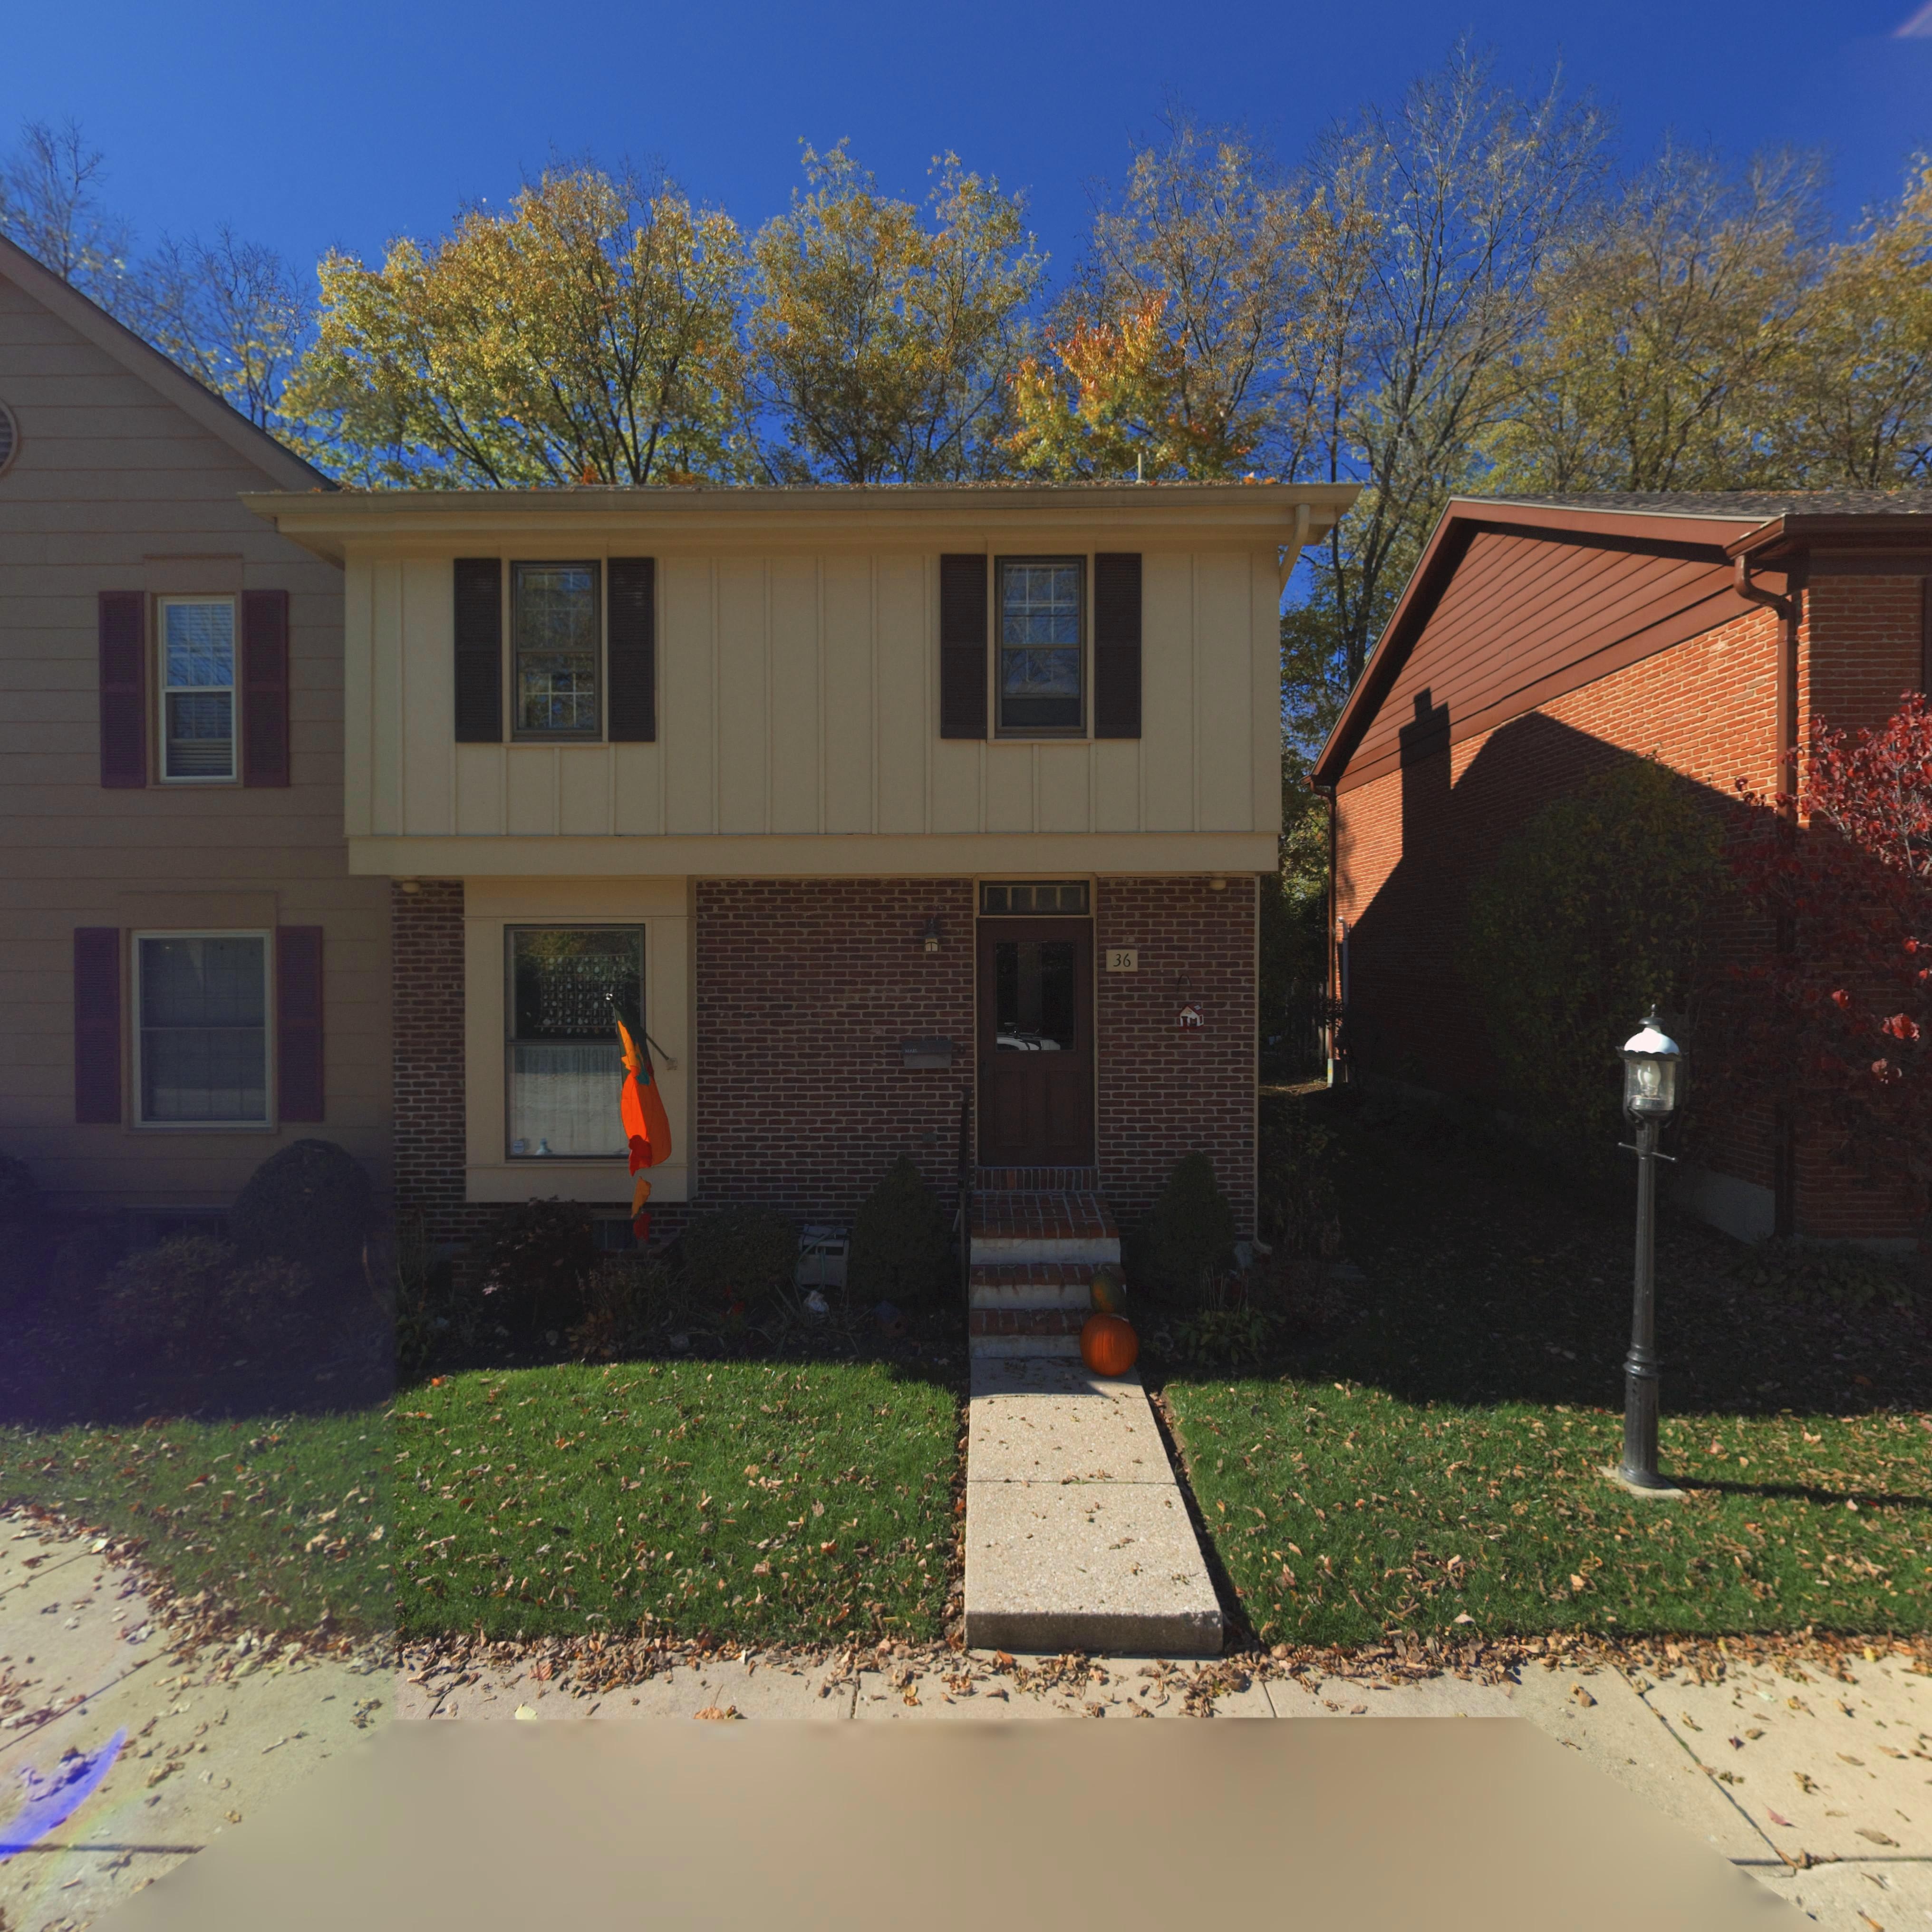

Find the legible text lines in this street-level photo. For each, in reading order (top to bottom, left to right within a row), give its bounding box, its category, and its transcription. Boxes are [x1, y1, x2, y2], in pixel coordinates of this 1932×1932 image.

[1112, 953, 1131, 967] StreetNumber: 36